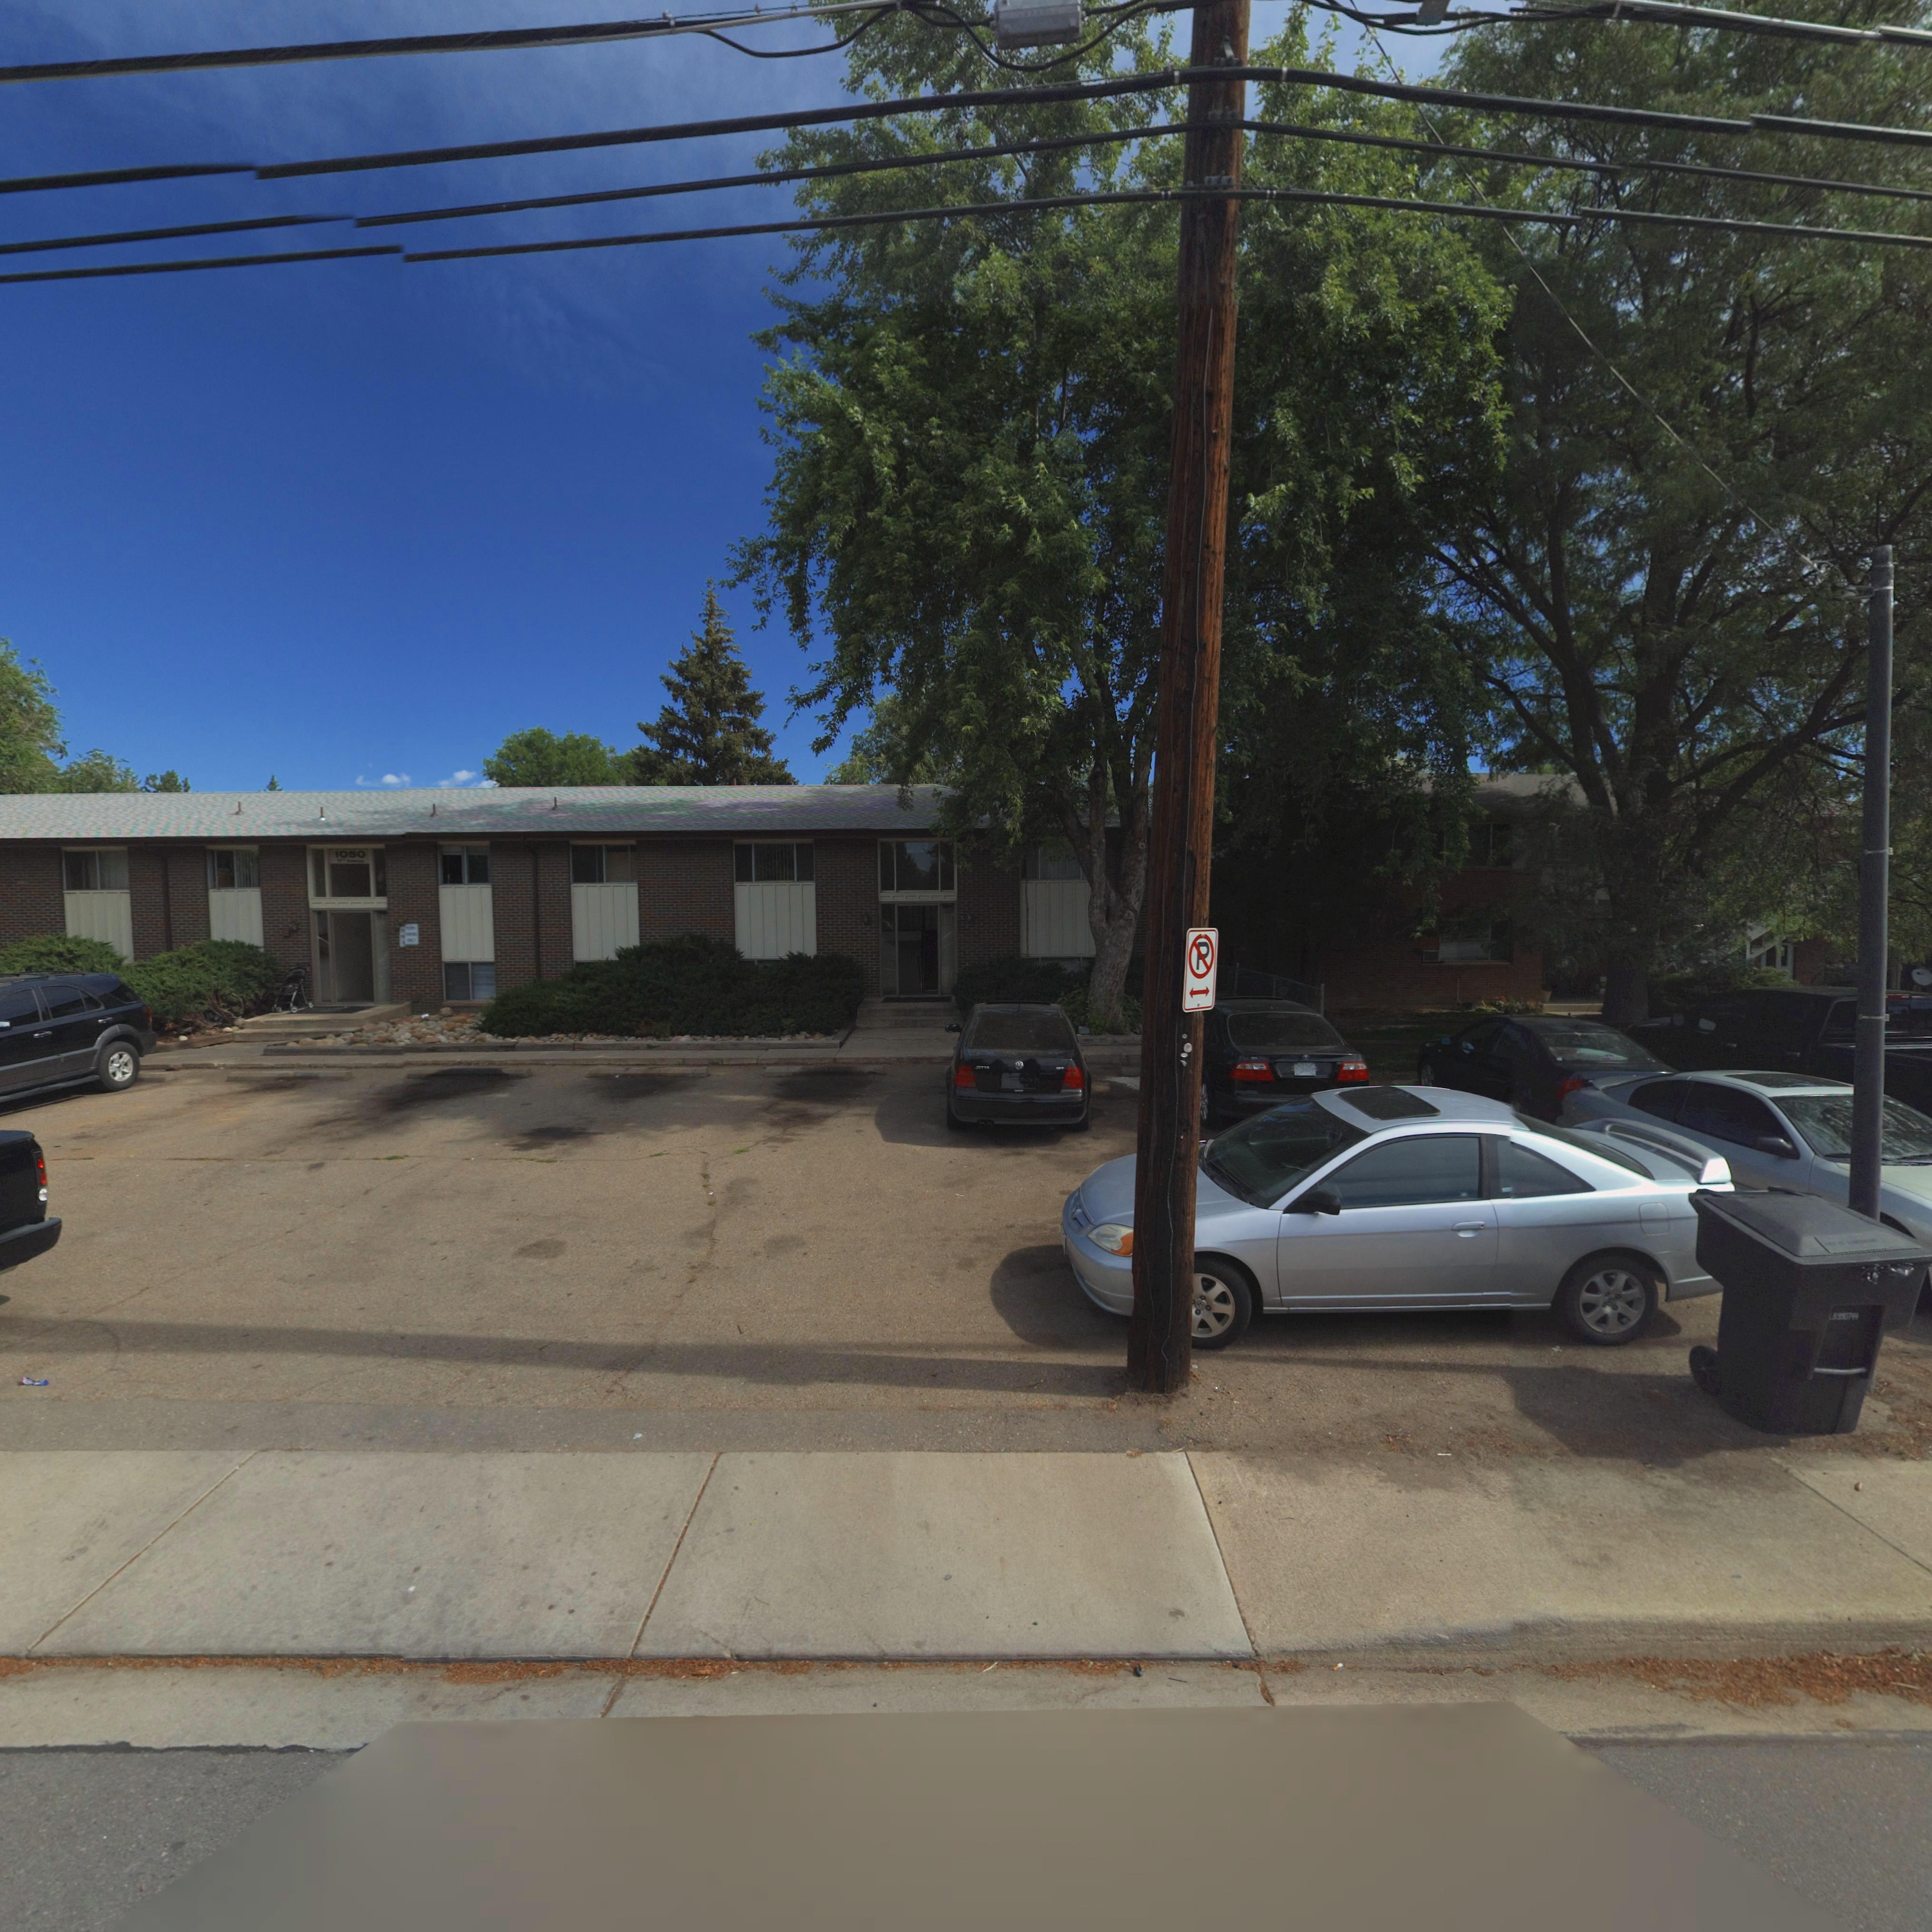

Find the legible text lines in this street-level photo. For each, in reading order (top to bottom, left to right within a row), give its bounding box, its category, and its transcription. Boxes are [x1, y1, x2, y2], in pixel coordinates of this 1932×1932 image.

[334, 850, 366, 859] StreetNumber: 1050